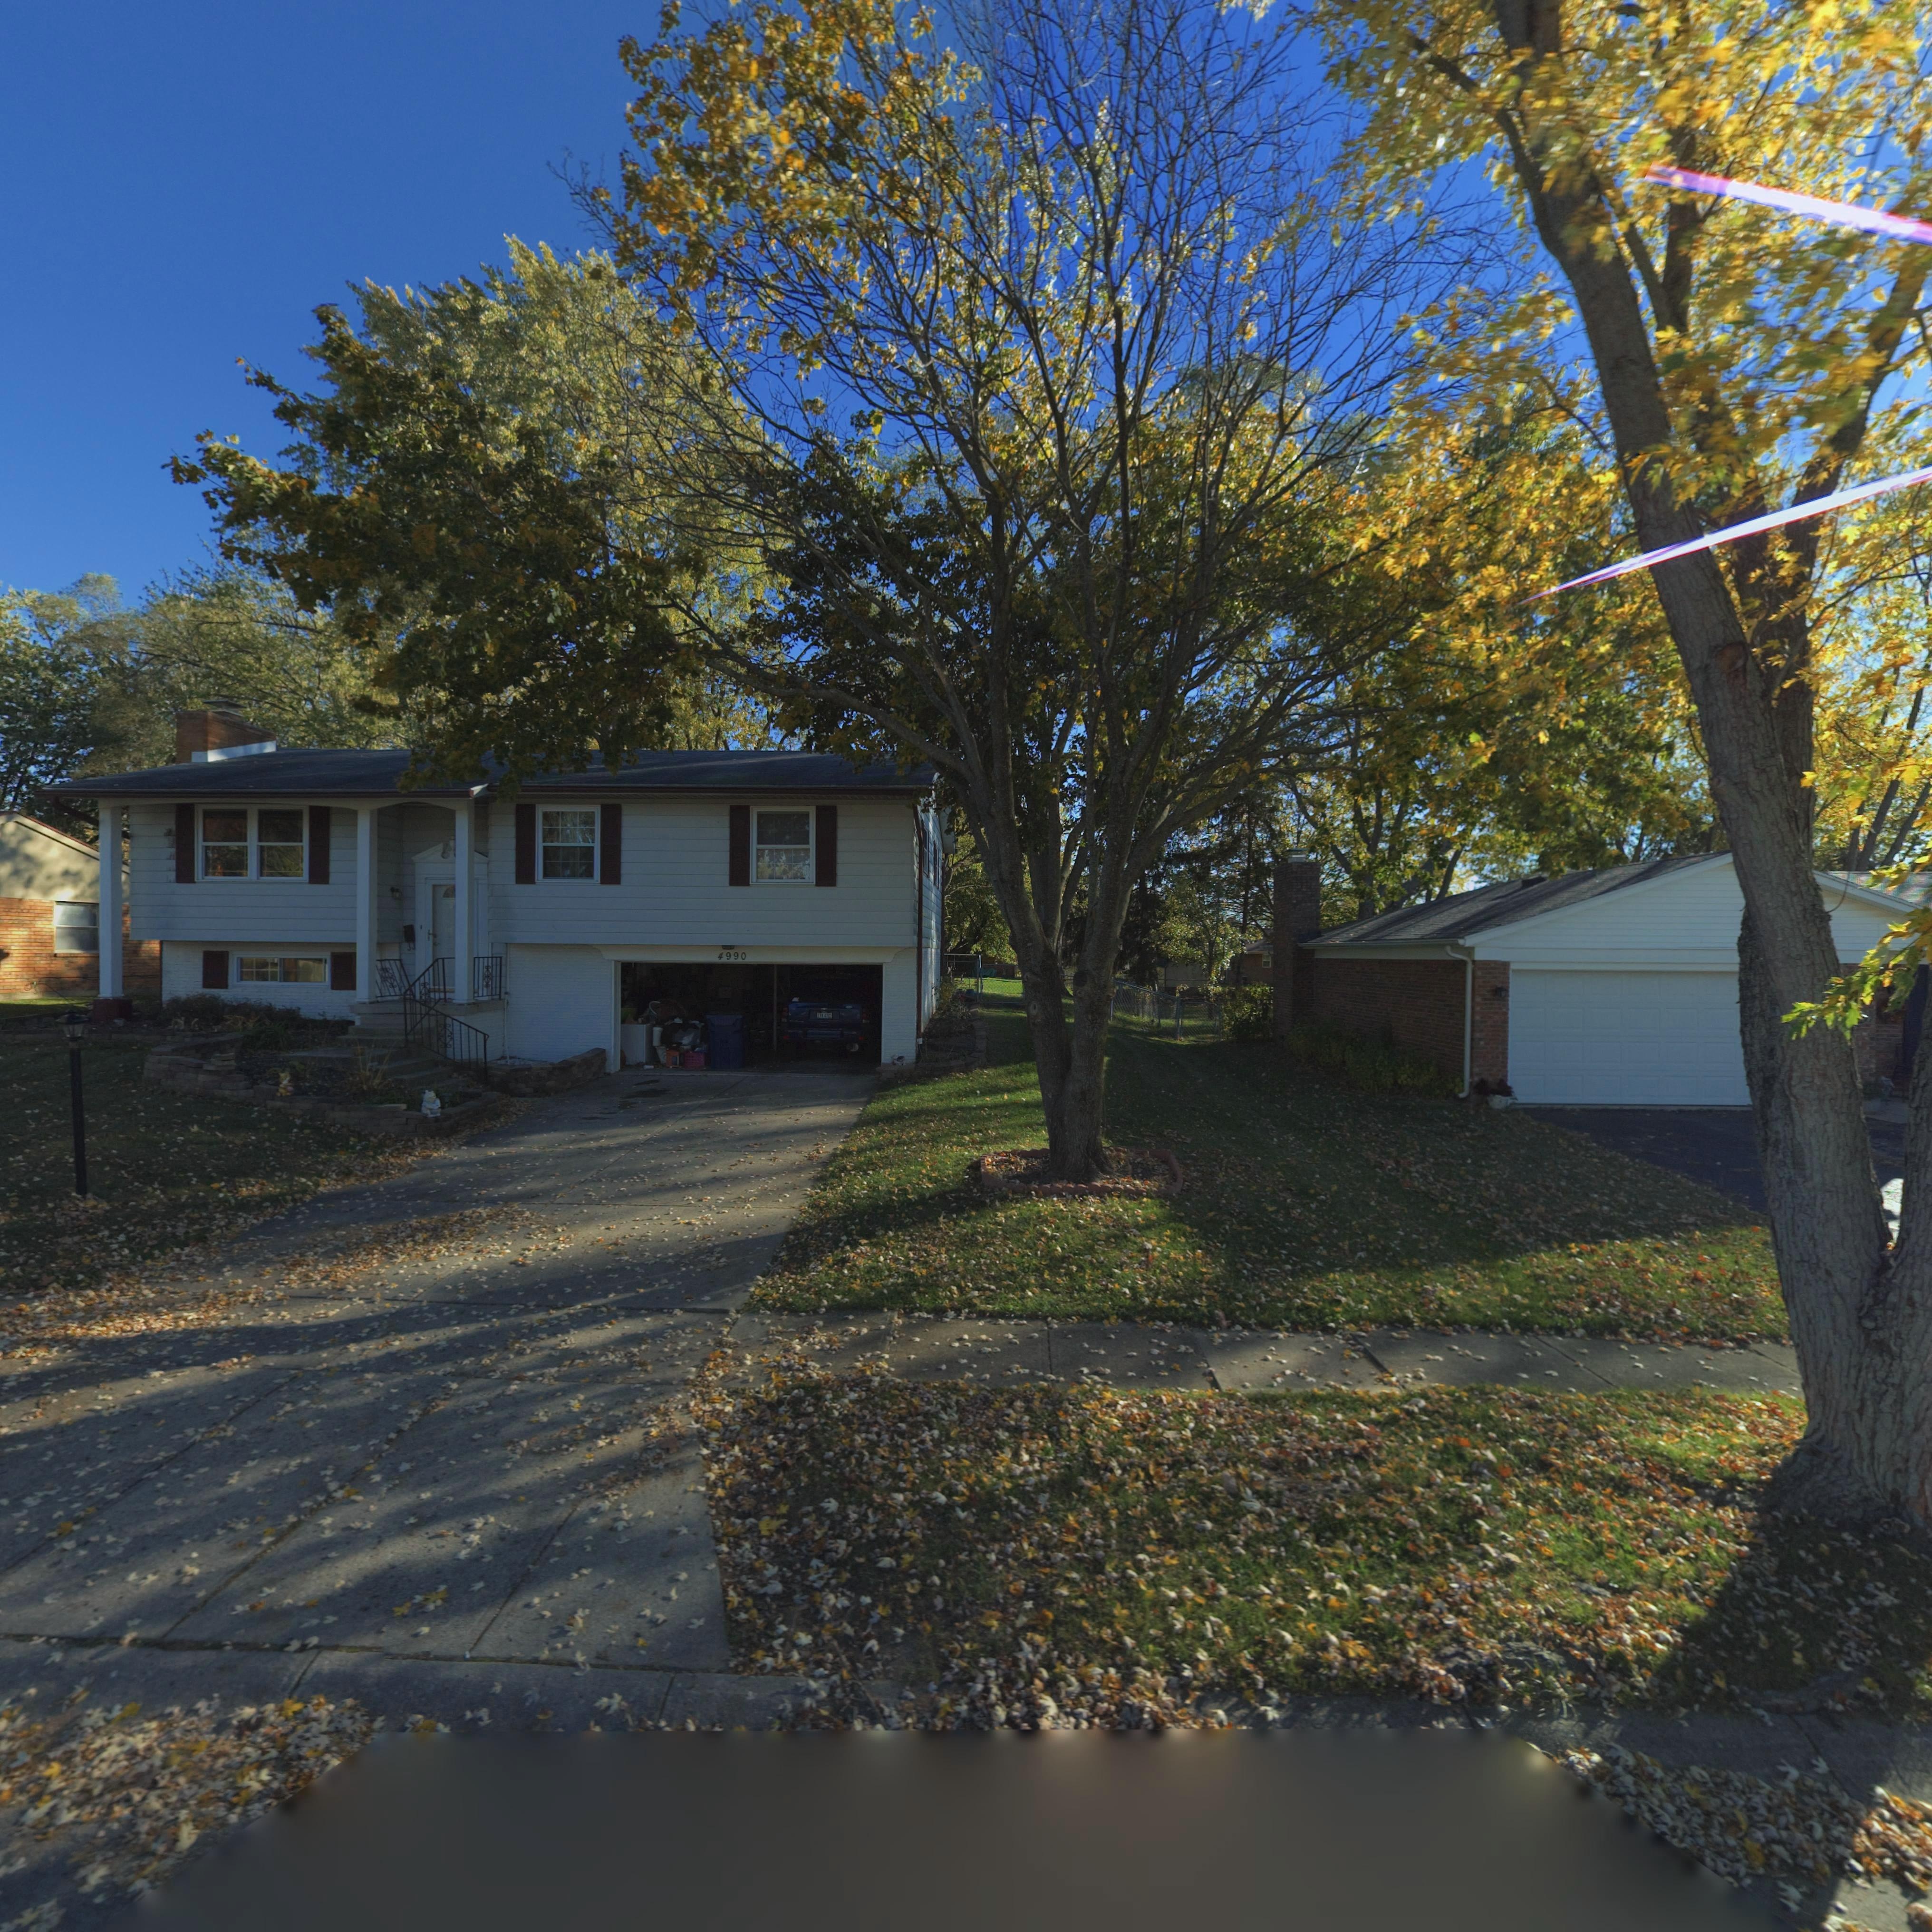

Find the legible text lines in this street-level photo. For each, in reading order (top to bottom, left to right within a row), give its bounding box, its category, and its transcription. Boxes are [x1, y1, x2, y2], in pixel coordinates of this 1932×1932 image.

[717, 951, 746, 960] StreetNumber: 4990